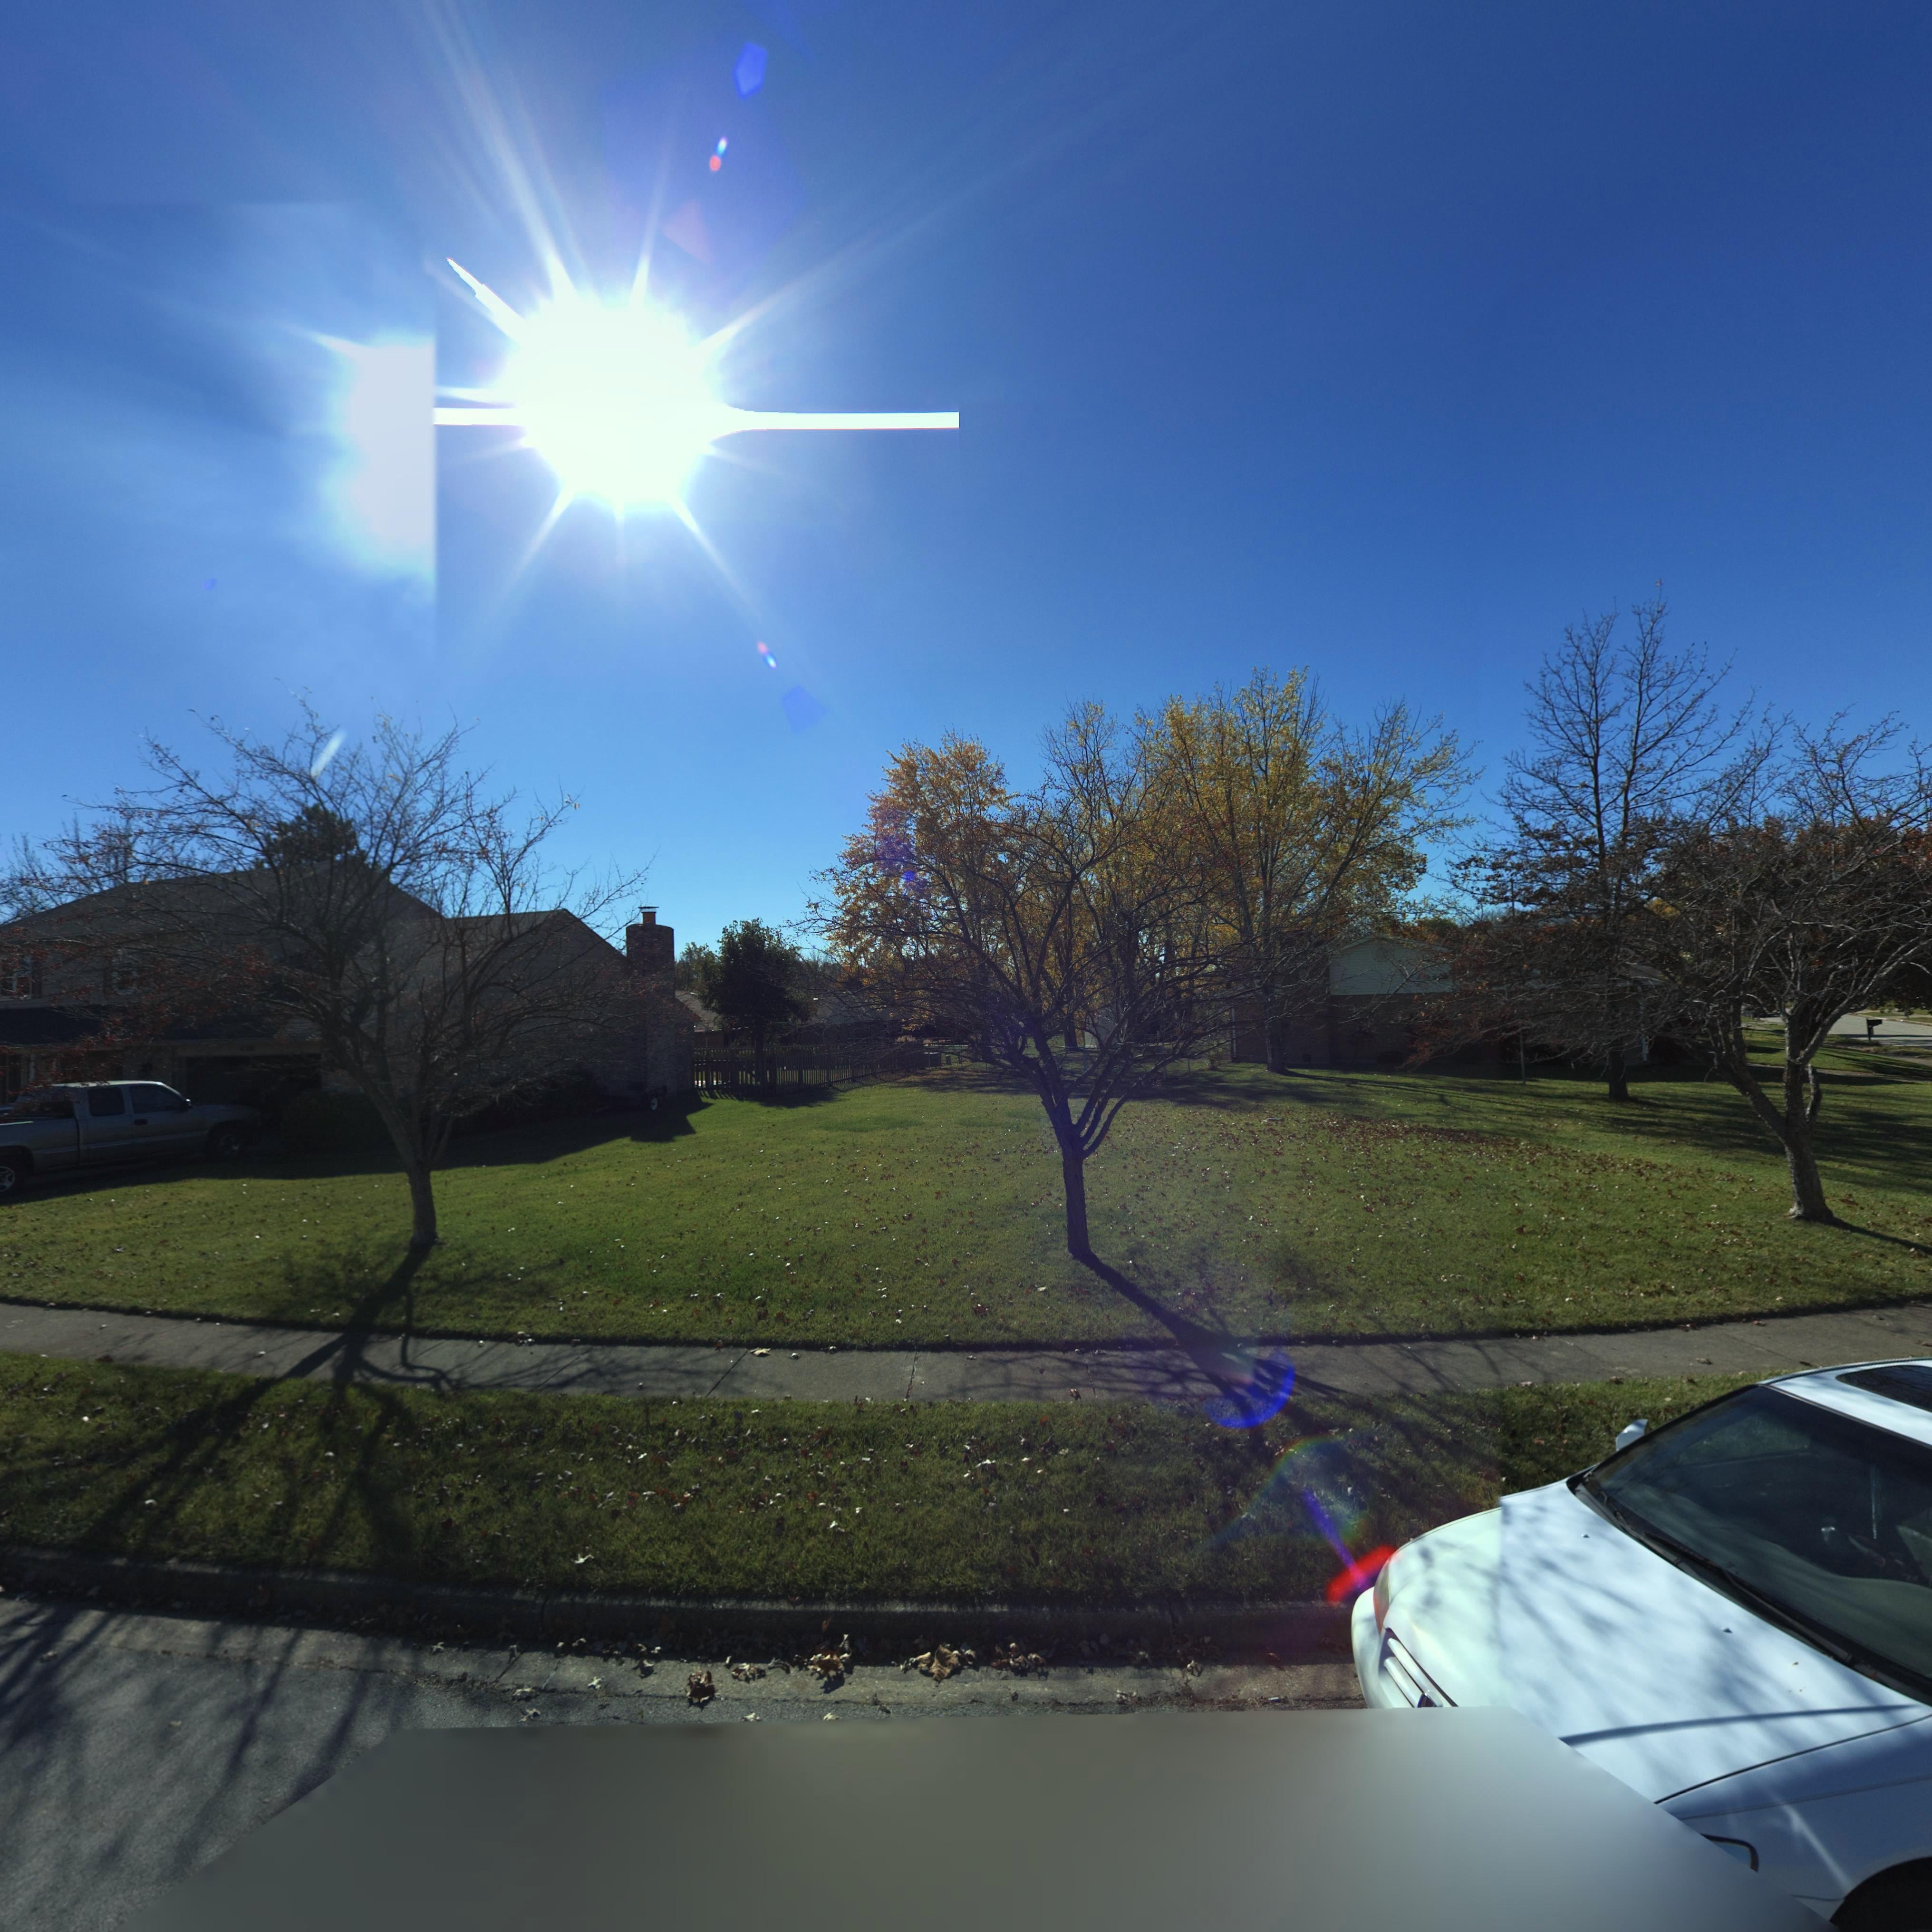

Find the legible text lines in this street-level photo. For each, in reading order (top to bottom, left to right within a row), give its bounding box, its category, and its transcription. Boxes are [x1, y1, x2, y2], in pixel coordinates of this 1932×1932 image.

[240, 1044, 256, 1052] StreetNumber: 4300